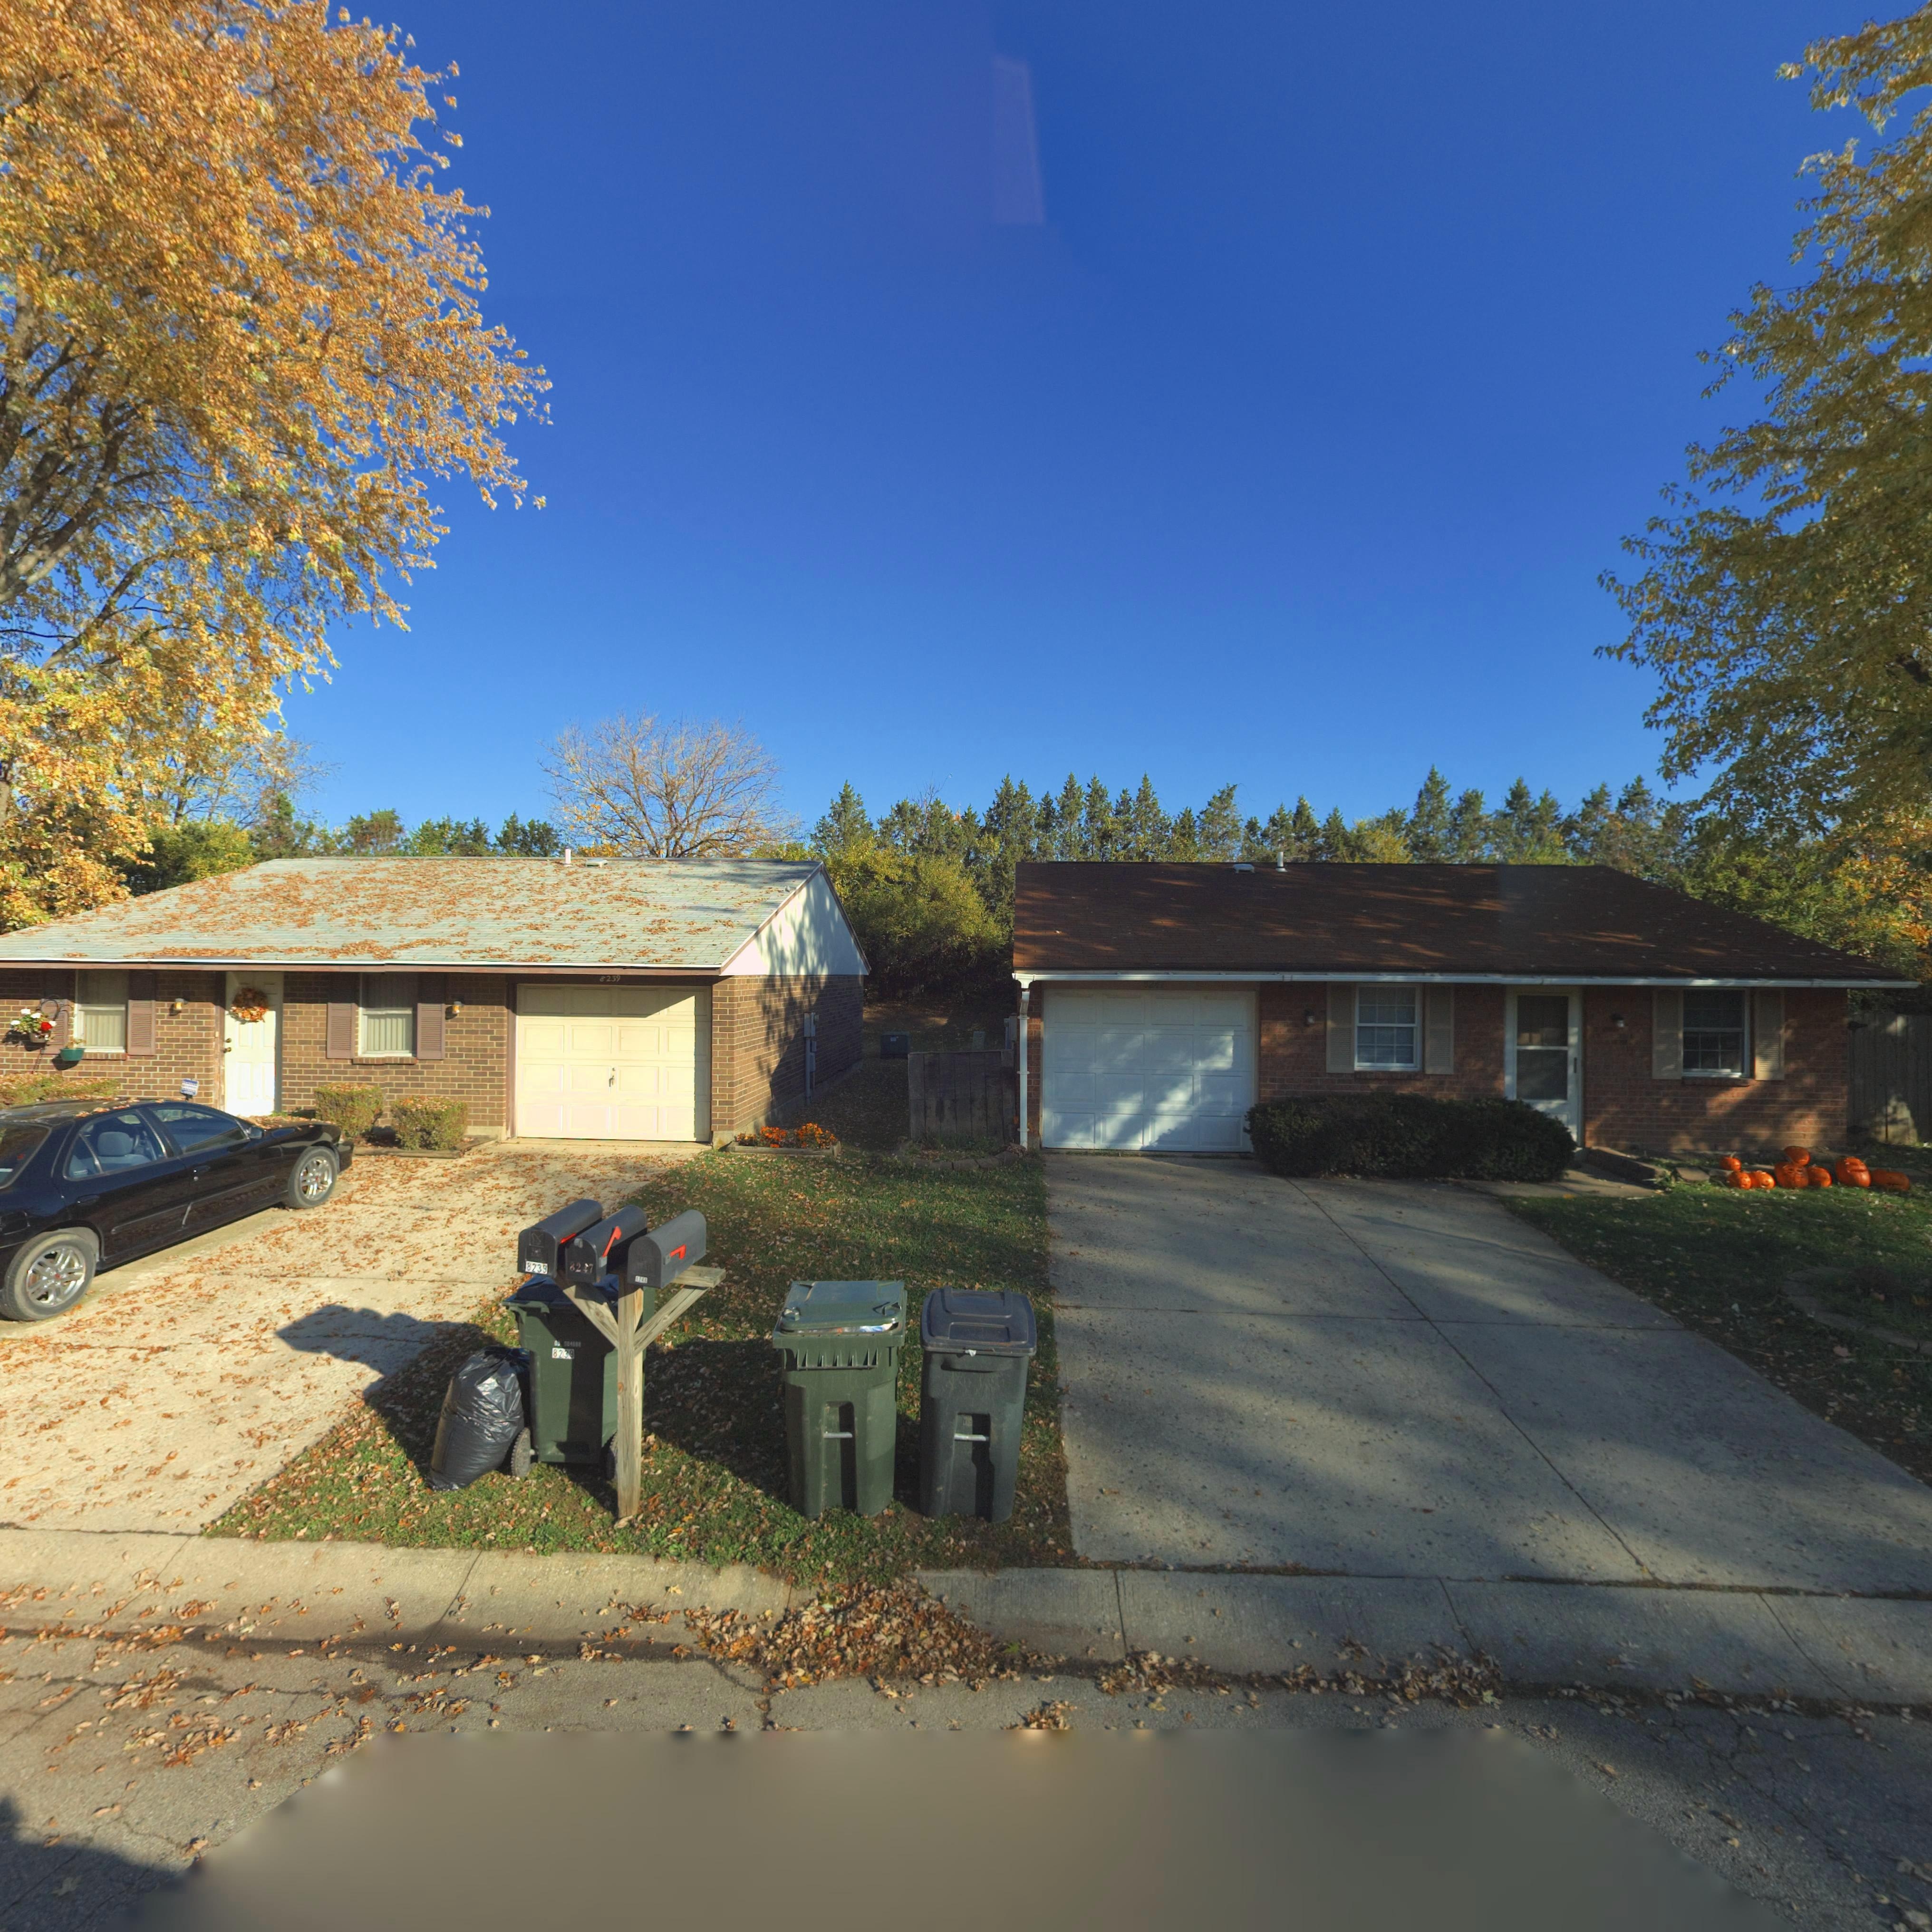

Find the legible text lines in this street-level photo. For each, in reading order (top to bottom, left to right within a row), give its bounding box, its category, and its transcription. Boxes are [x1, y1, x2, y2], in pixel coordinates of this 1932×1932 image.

[598, 975, 621, 983] StreetNumber: 8239
[1142, 980, 1168, 989] StreetNumber: 82*7
[526, 1261, 547, 1275] StreetNumber: 8239
[568, 1261, 595, 1275] StreetNumber: 8247
[640, 1276, 645, 1283] StreetNumber: 4
[551, 1348, 574, 1359] StreetNumber: 8239